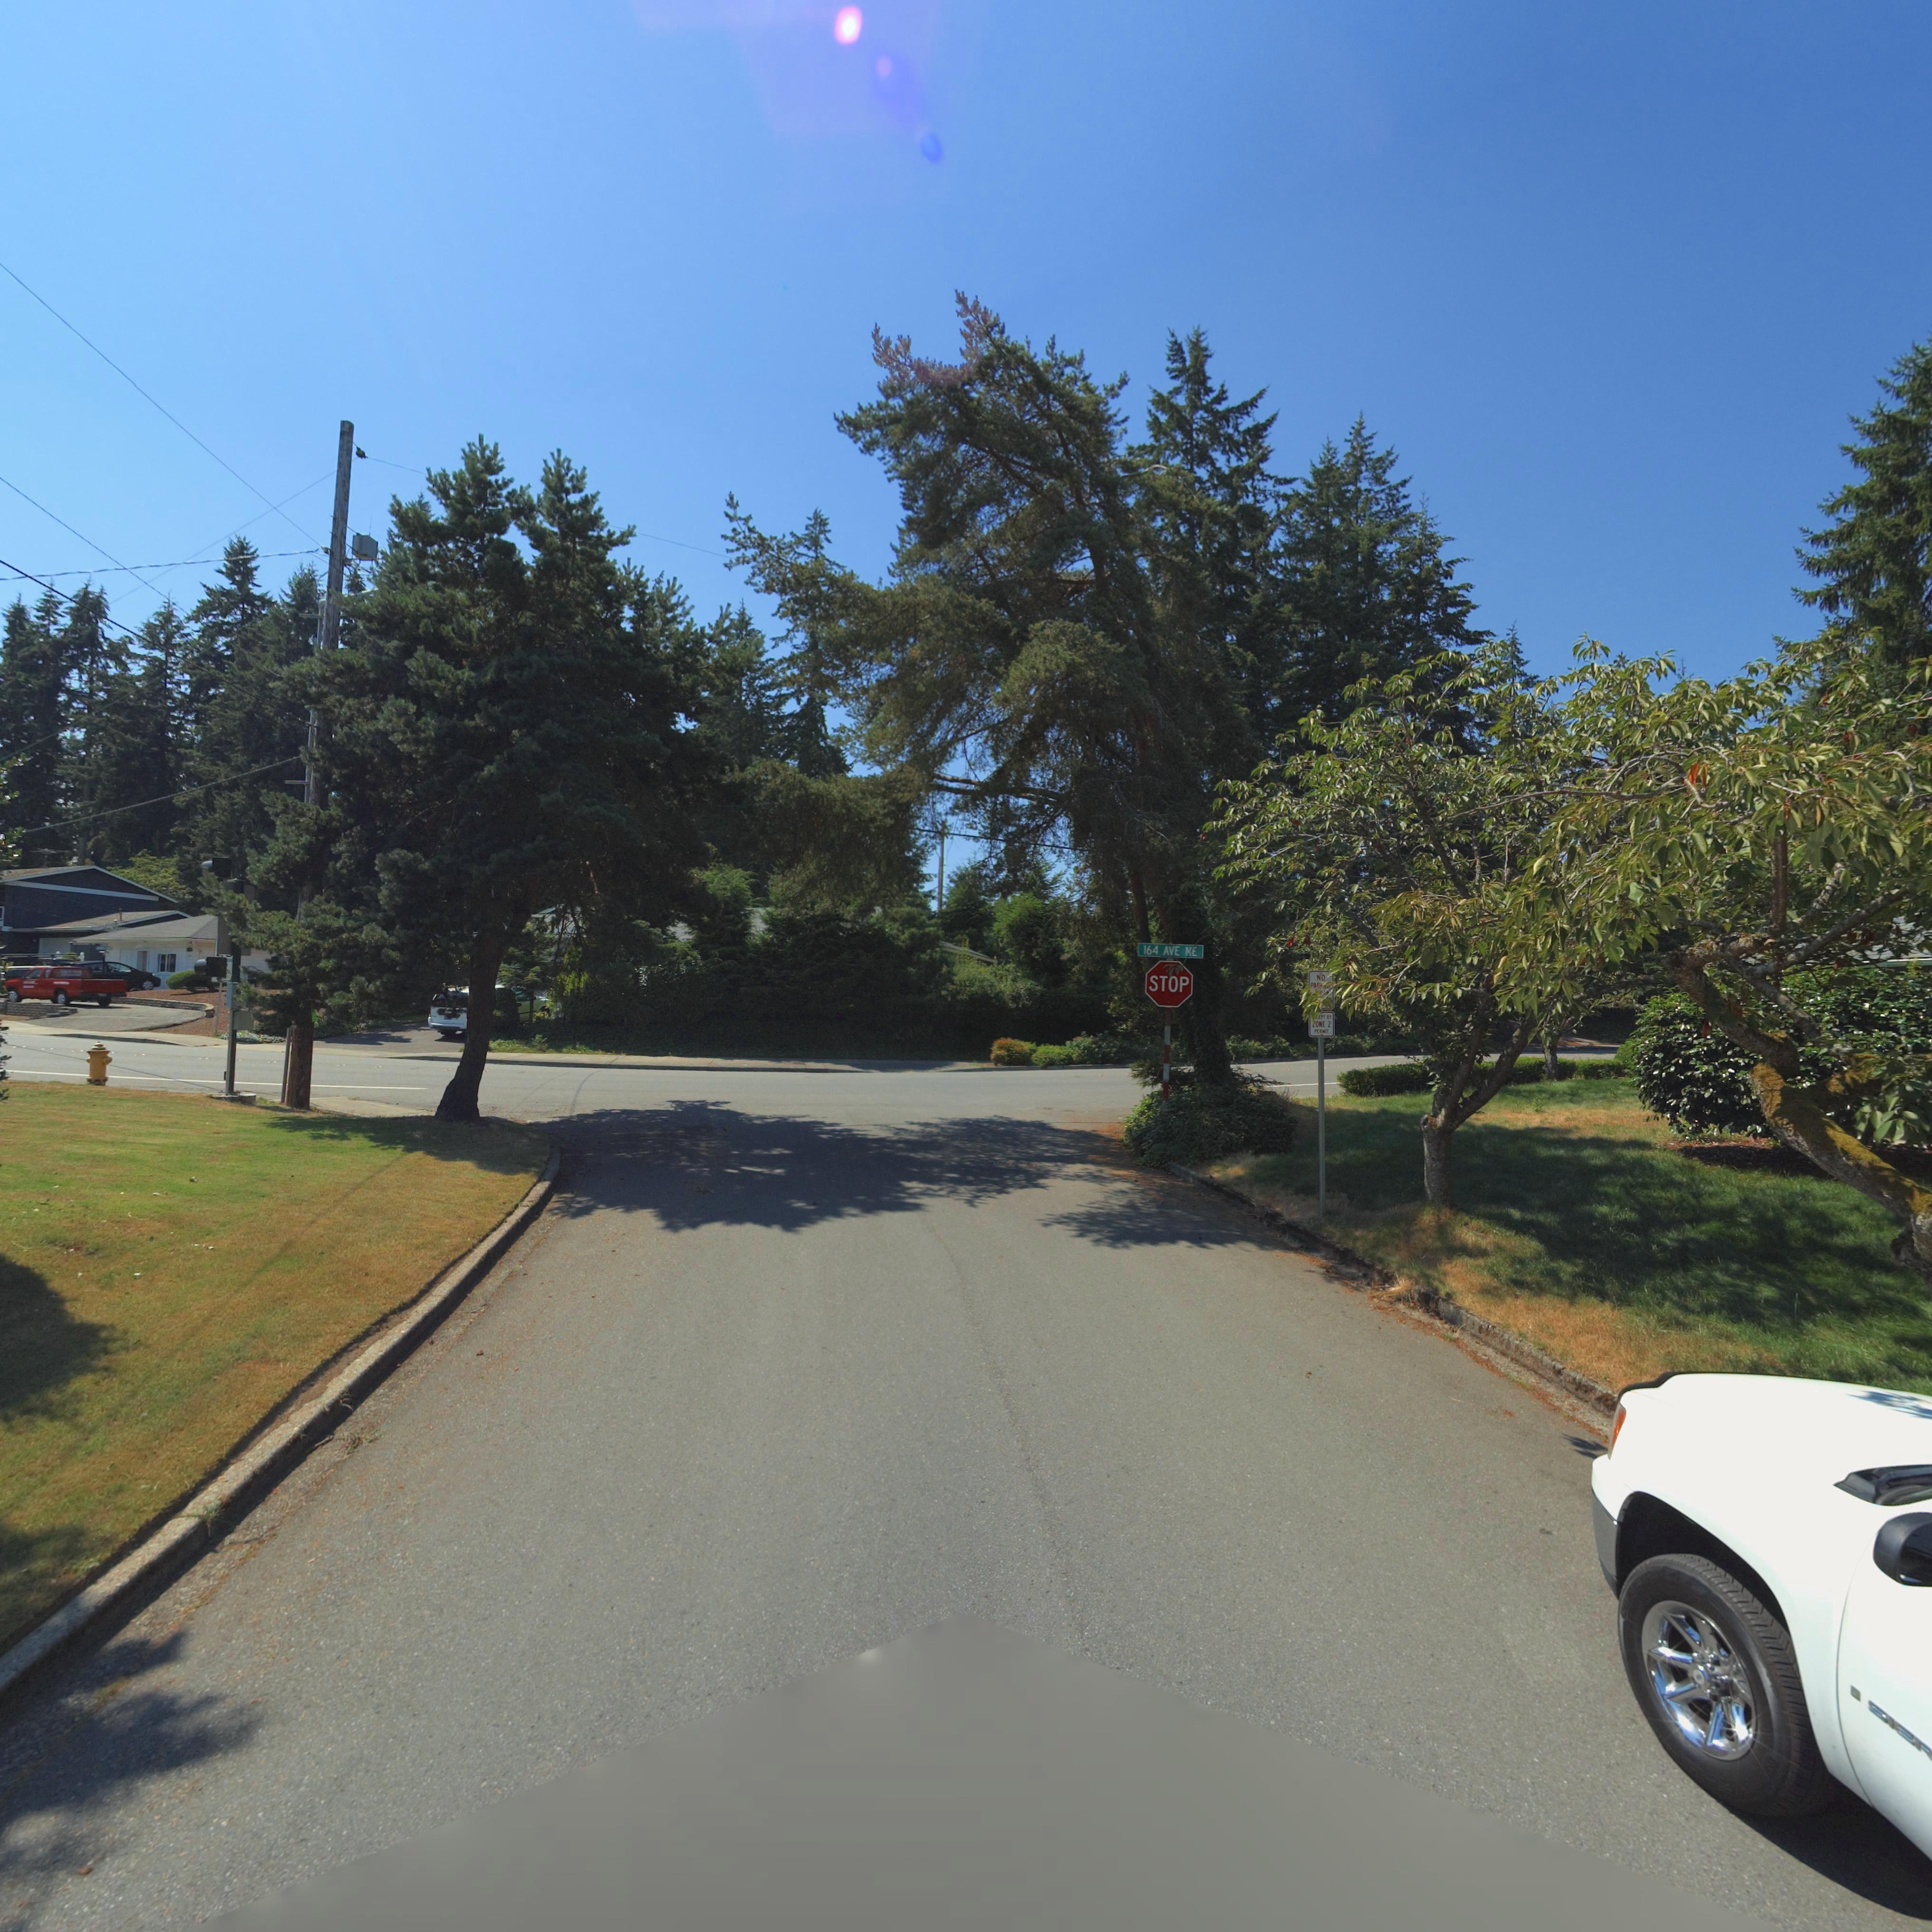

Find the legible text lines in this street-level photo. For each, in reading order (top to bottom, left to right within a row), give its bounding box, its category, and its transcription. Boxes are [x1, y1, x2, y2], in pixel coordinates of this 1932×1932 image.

[1143, 944, 1198, 956] StreetName: 164 AVE NE